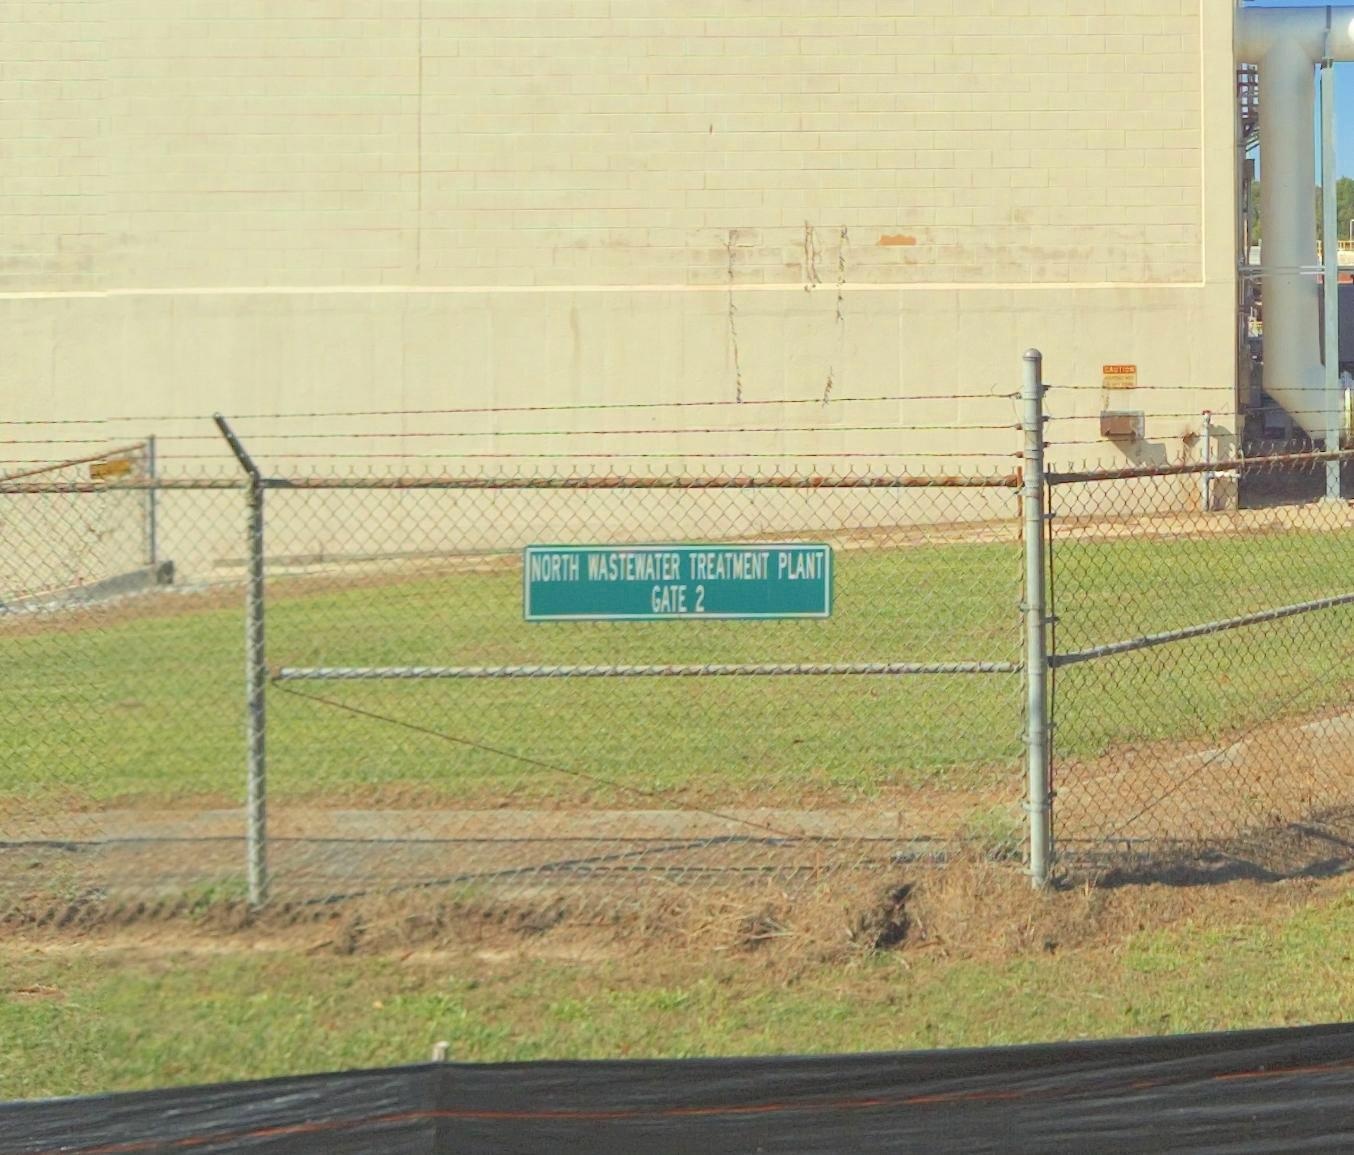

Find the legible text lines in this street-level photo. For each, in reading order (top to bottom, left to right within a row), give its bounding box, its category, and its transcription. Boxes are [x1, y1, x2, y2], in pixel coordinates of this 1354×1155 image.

[530, 550, 824, 583] BusinessName: NORTH WASTEWATER TREATMENT PLANT
[650, 583, 706, 613] None: GATE 2